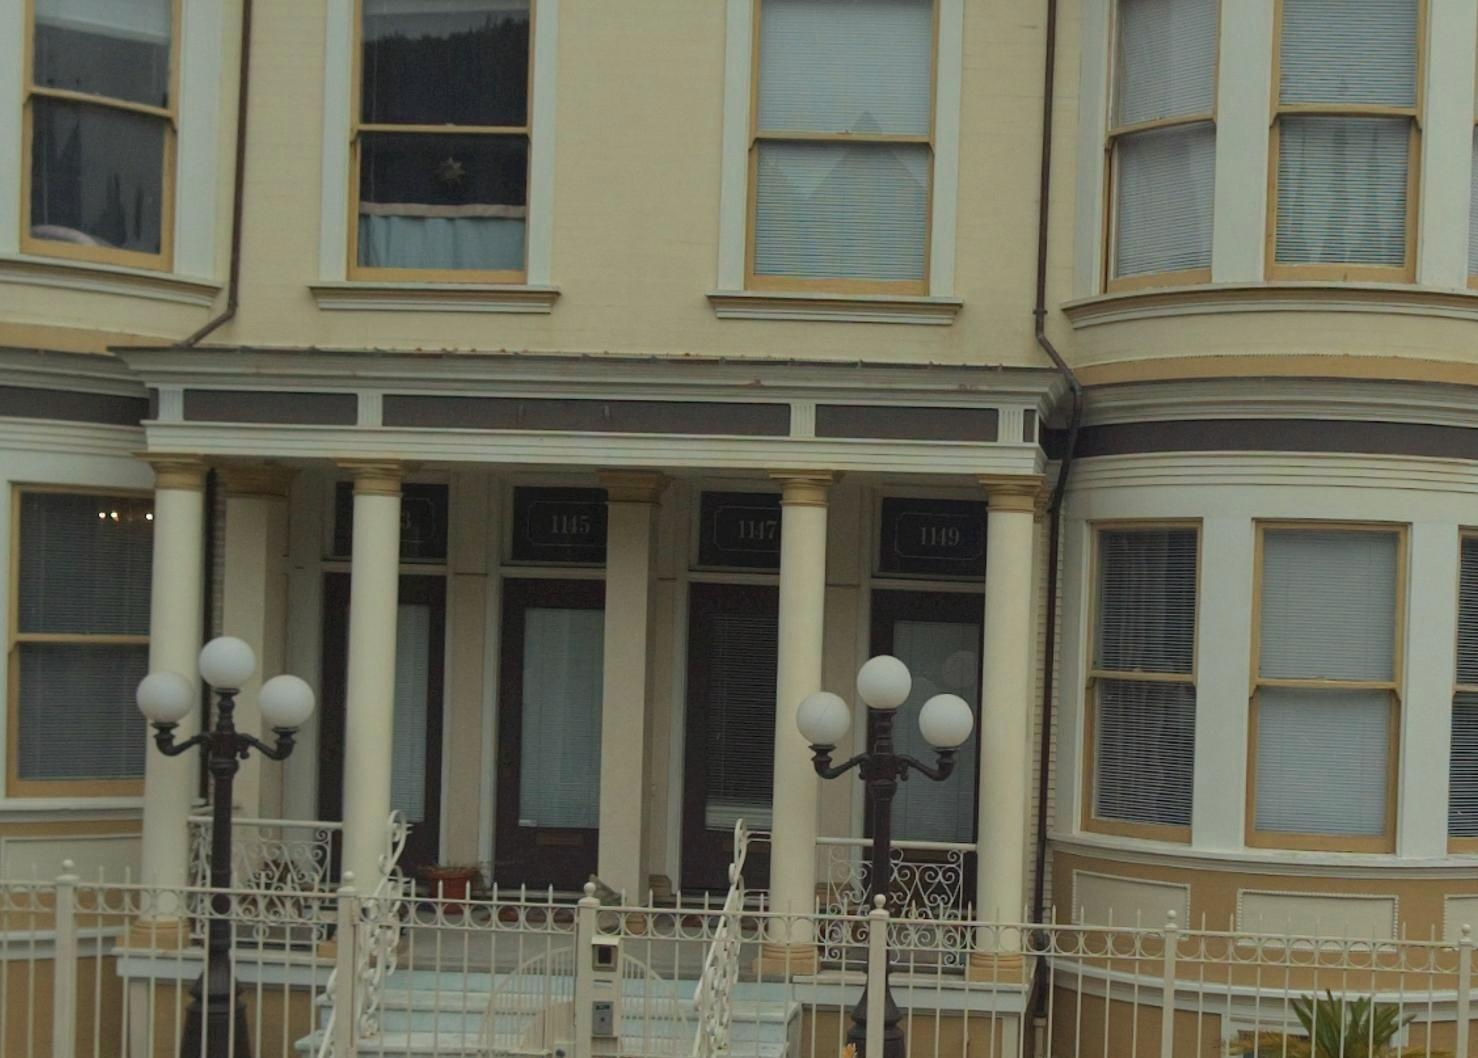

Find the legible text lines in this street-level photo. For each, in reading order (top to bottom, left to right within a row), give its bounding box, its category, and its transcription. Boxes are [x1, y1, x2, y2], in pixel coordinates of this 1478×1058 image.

[400, 509, 412, 530] StreetNumber: 3
[549, 514, 591, 535] StreetNumber: 1145
[737, 519, 779, 540] StreetNumber: 1147
[920, 525, 960, 547] StreetNumber: 1149